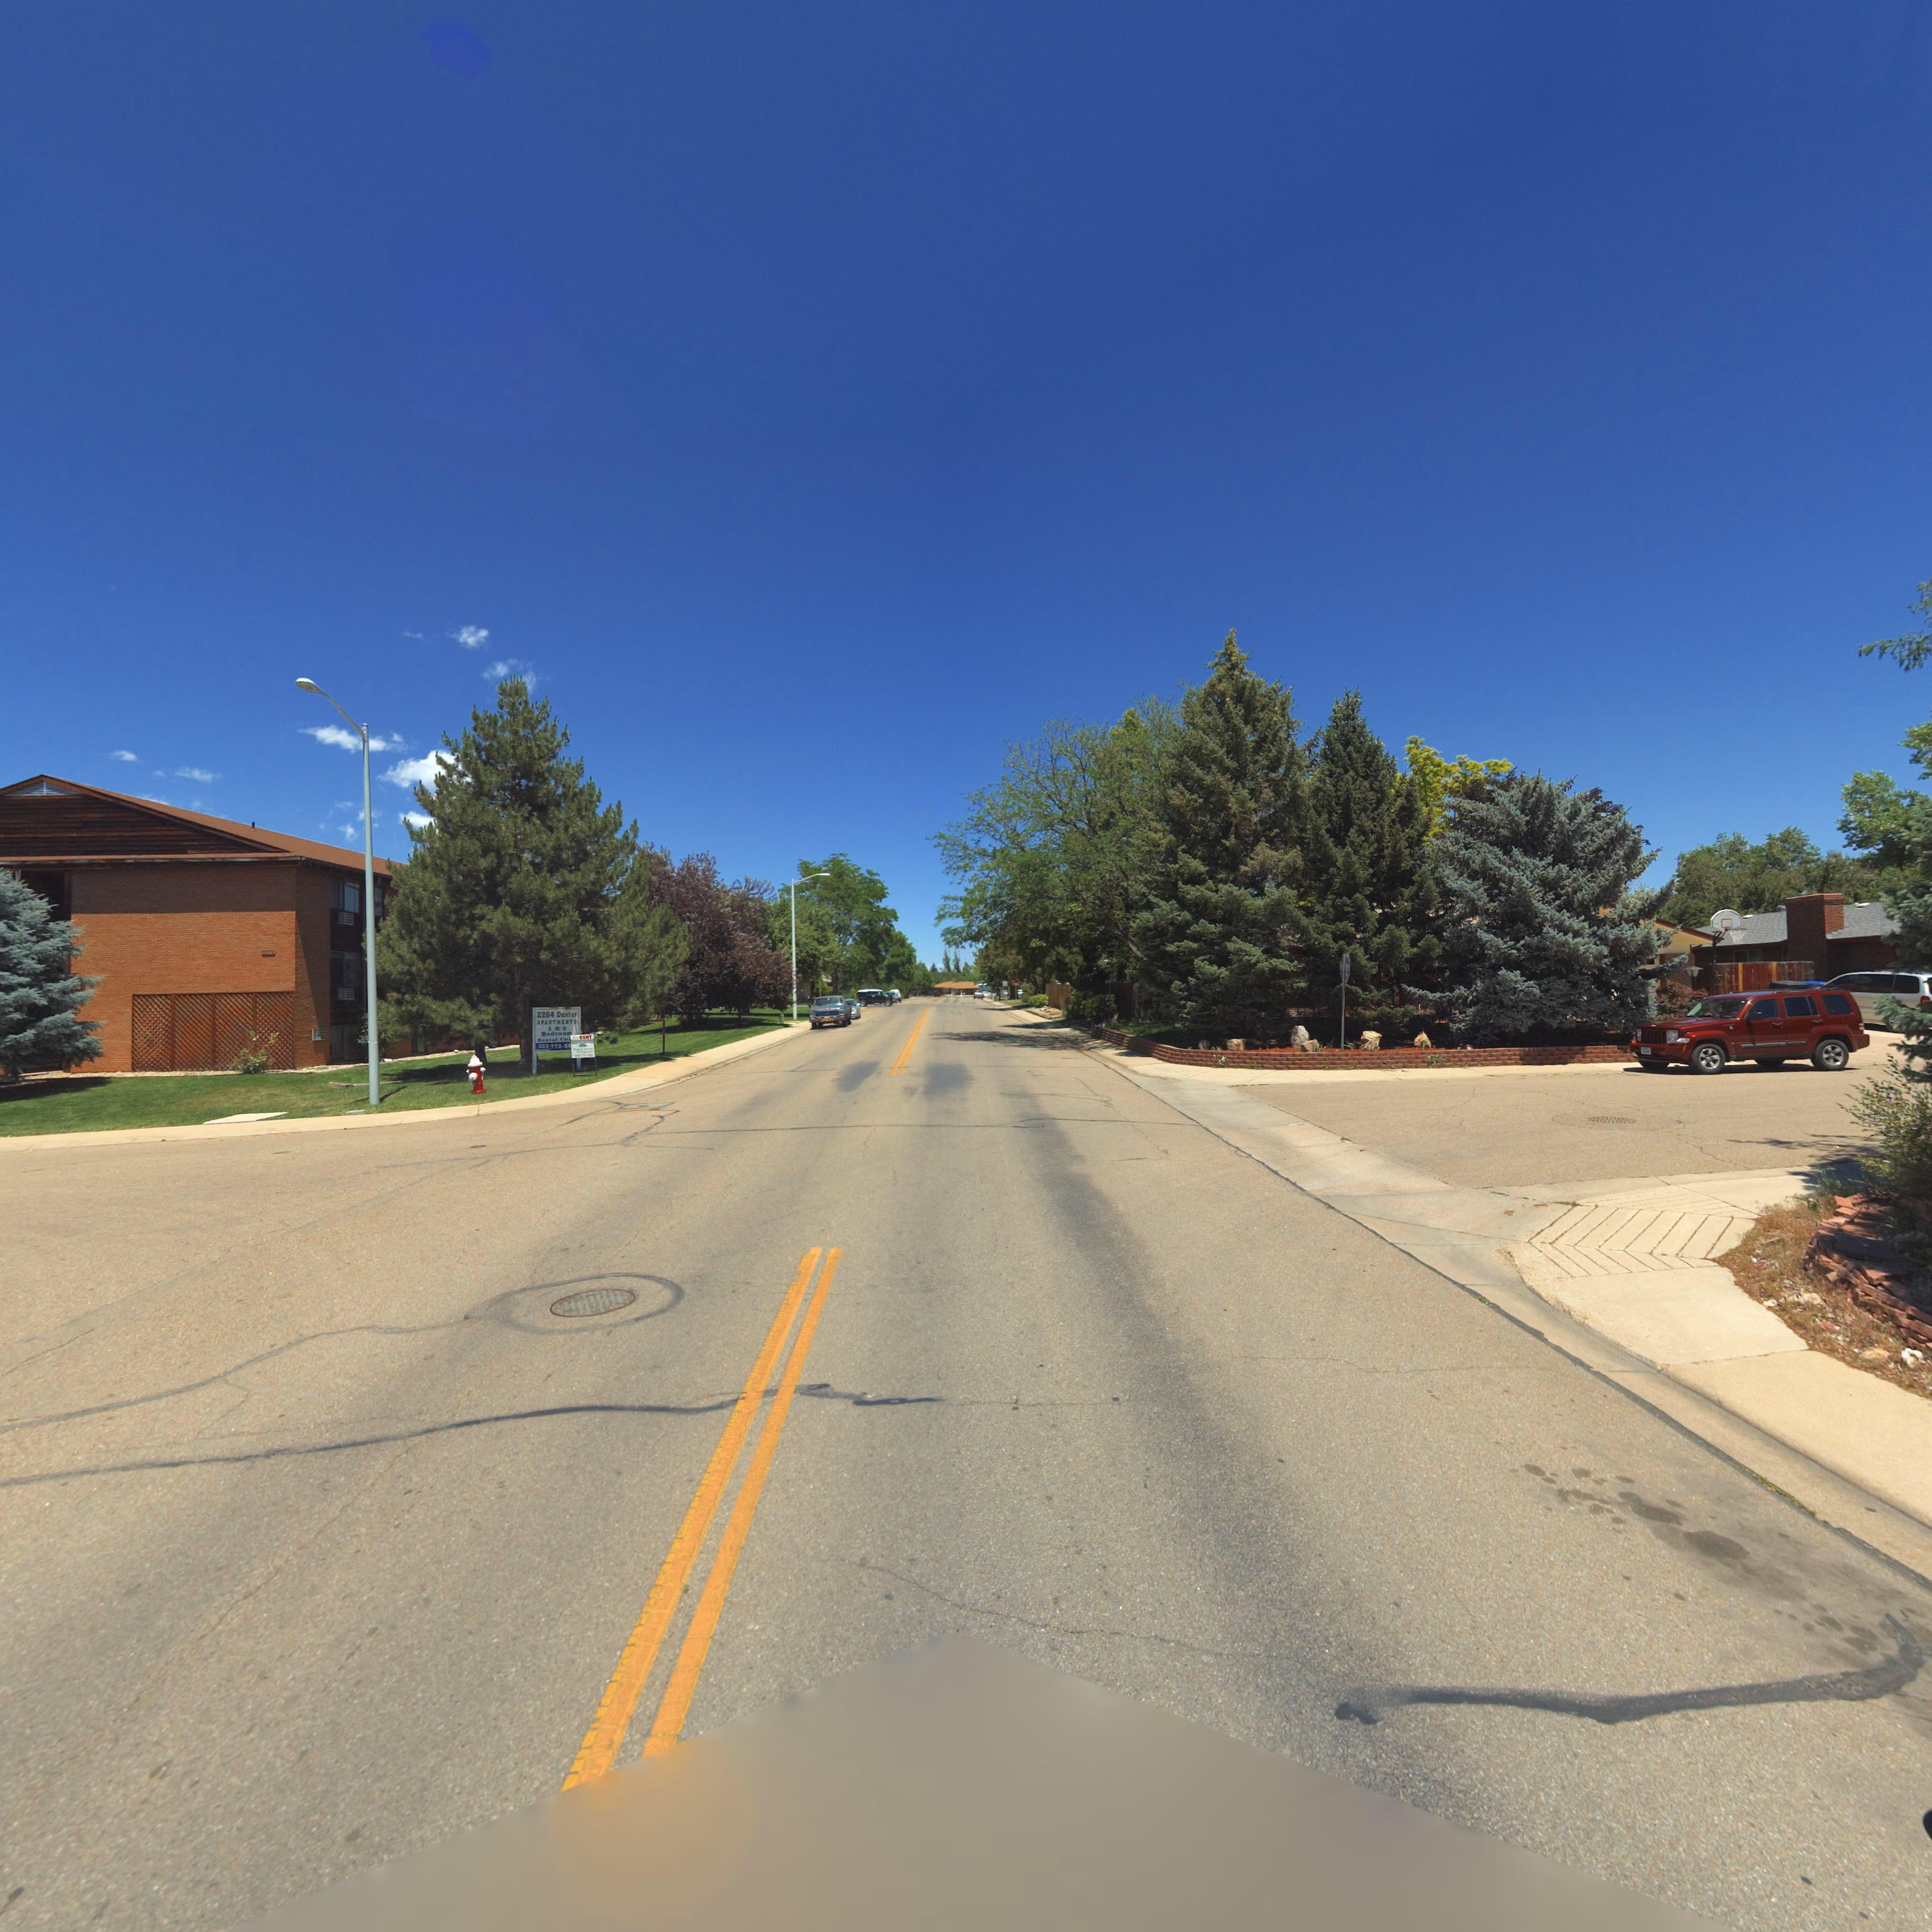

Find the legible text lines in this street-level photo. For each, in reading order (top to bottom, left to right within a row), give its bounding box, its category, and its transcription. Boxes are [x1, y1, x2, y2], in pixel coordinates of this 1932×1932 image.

[537, 1011, 554, 1018] StreetNumber: 2264
[556, 1011, 577, 1017] StreetName: Dexter